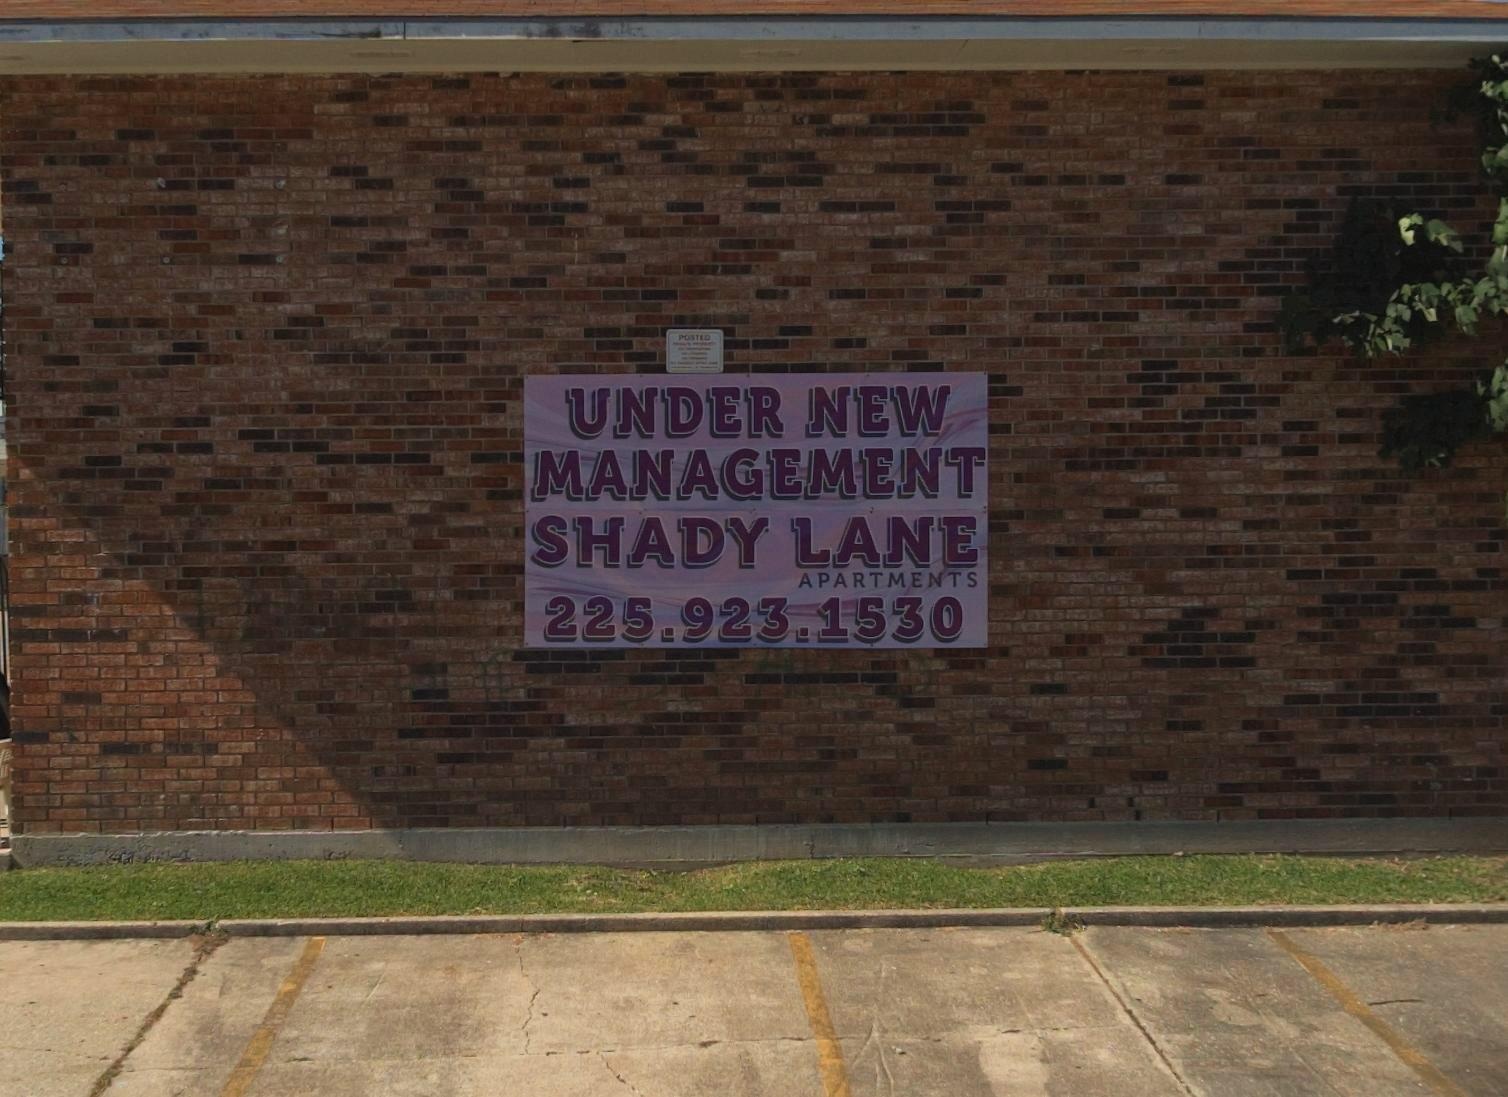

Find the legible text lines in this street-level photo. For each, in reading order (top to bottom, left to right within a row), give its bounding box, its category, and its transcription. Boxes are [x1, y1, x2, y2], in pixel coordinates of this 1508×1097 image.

[676, 332, 714, 343] None: POST**
[562, 380, 957, 445] None: UNDER NEW
[526, 443, 991, 505] None: MANAGEMENT
[528, 511, 983, 571] BusinessName: SHADY LANE
[793, 569, 980, 591] BusinessName: APARTMENTS
[539, 589, 967, 648] None: 225.923.1530